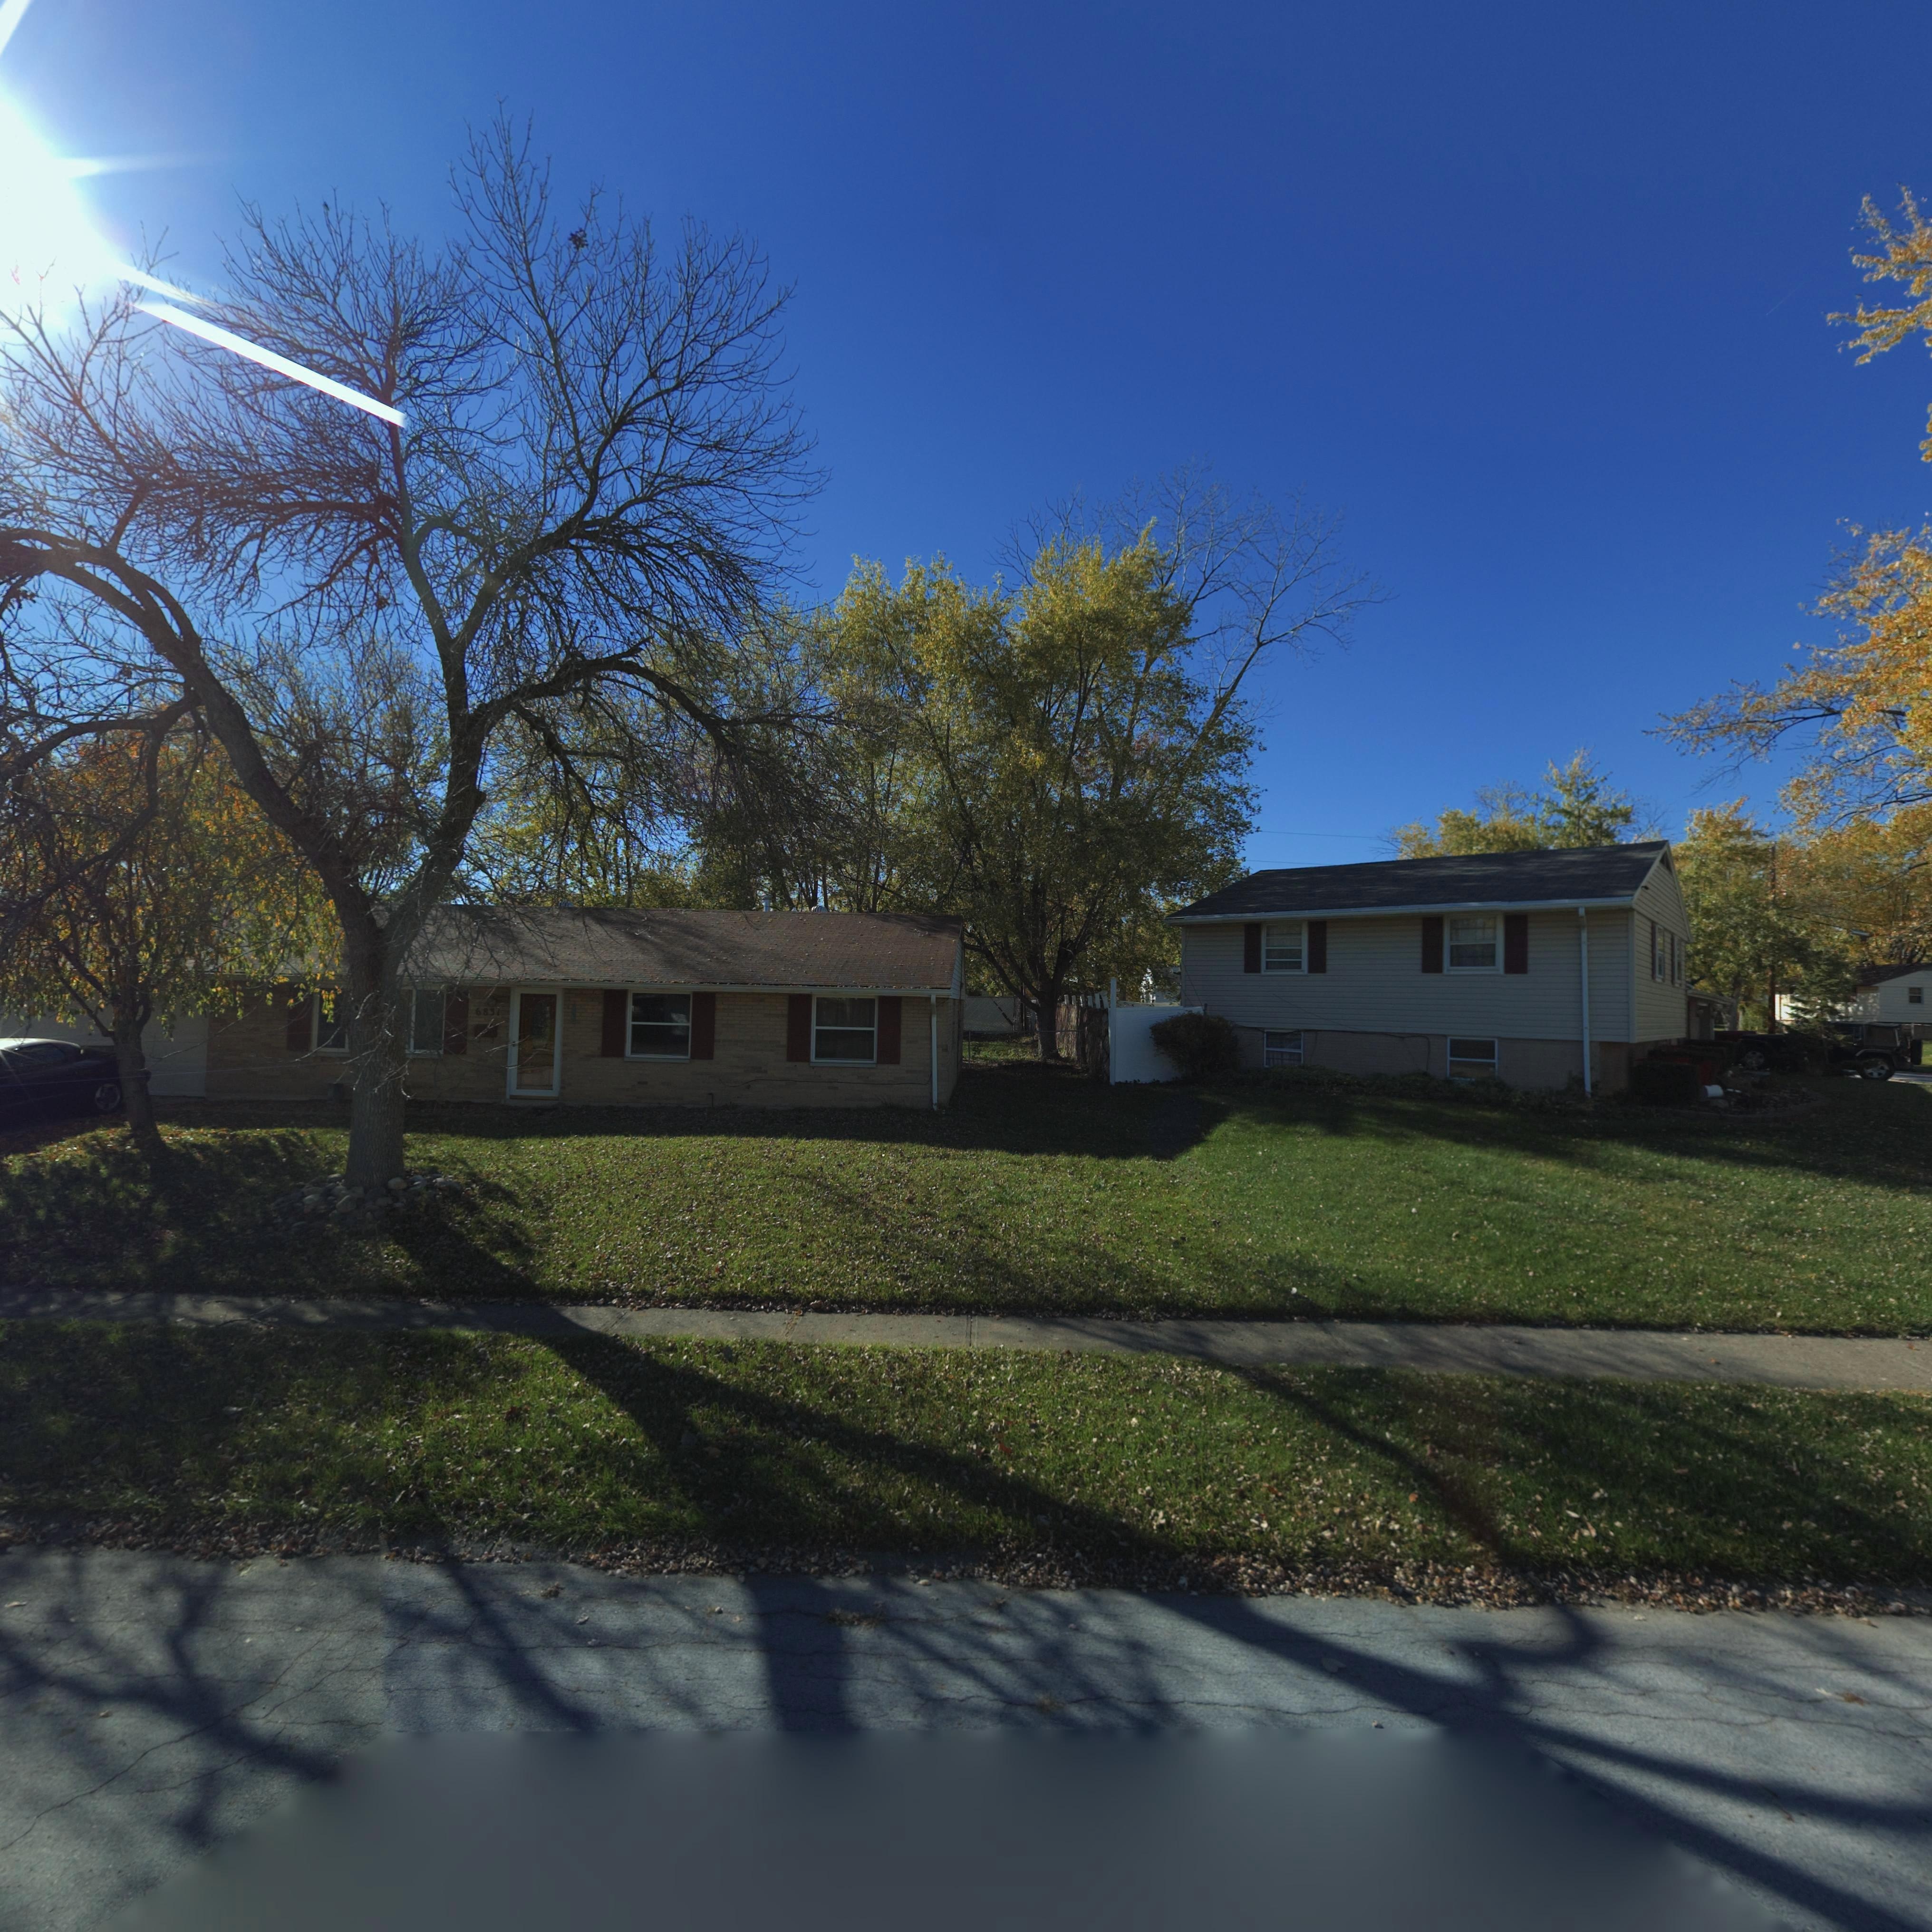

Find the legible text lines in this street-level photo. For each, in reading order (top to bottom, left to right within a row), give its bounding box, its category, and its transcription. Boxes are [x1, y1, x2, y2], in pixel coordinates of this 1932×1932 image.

[474, 1007, 501, 1016] StreetNumber: 6831